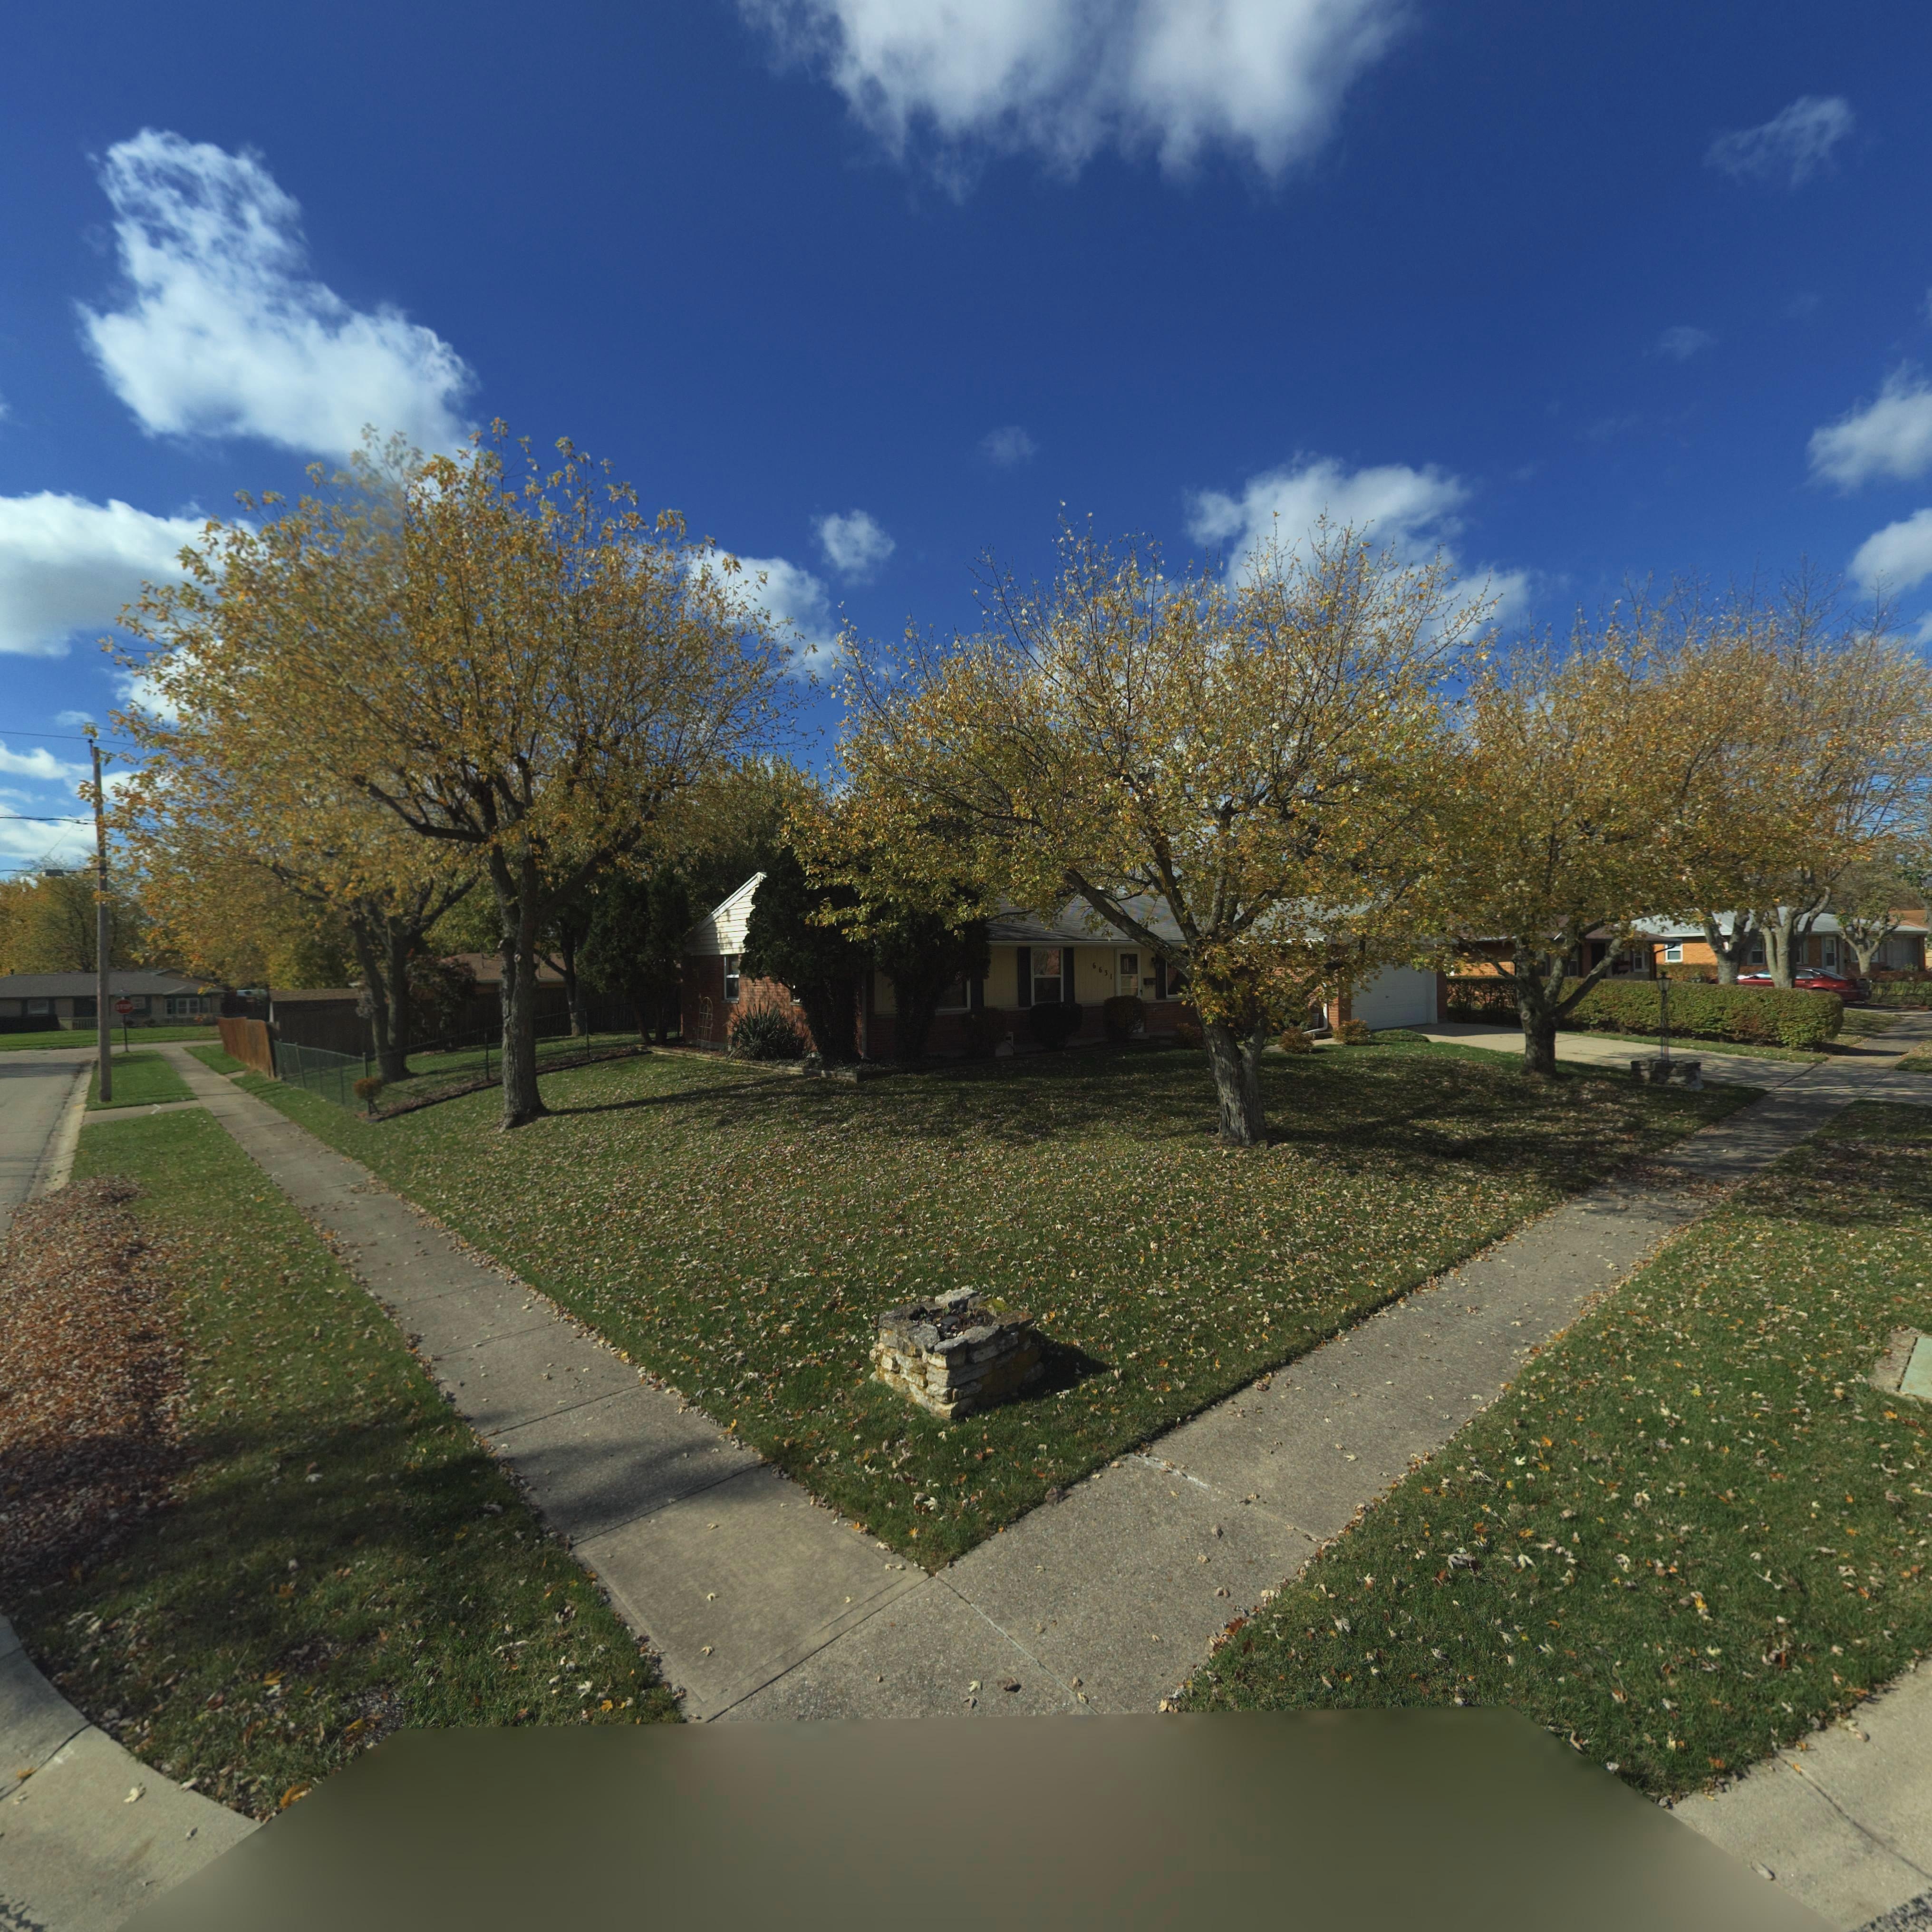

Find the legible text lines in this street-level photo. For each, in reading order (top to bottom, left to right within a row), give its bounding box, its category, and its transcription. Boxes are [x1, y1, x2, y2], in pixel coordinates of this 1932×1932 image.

[1092, 961, 1112, 981] StreetNumber: 6631